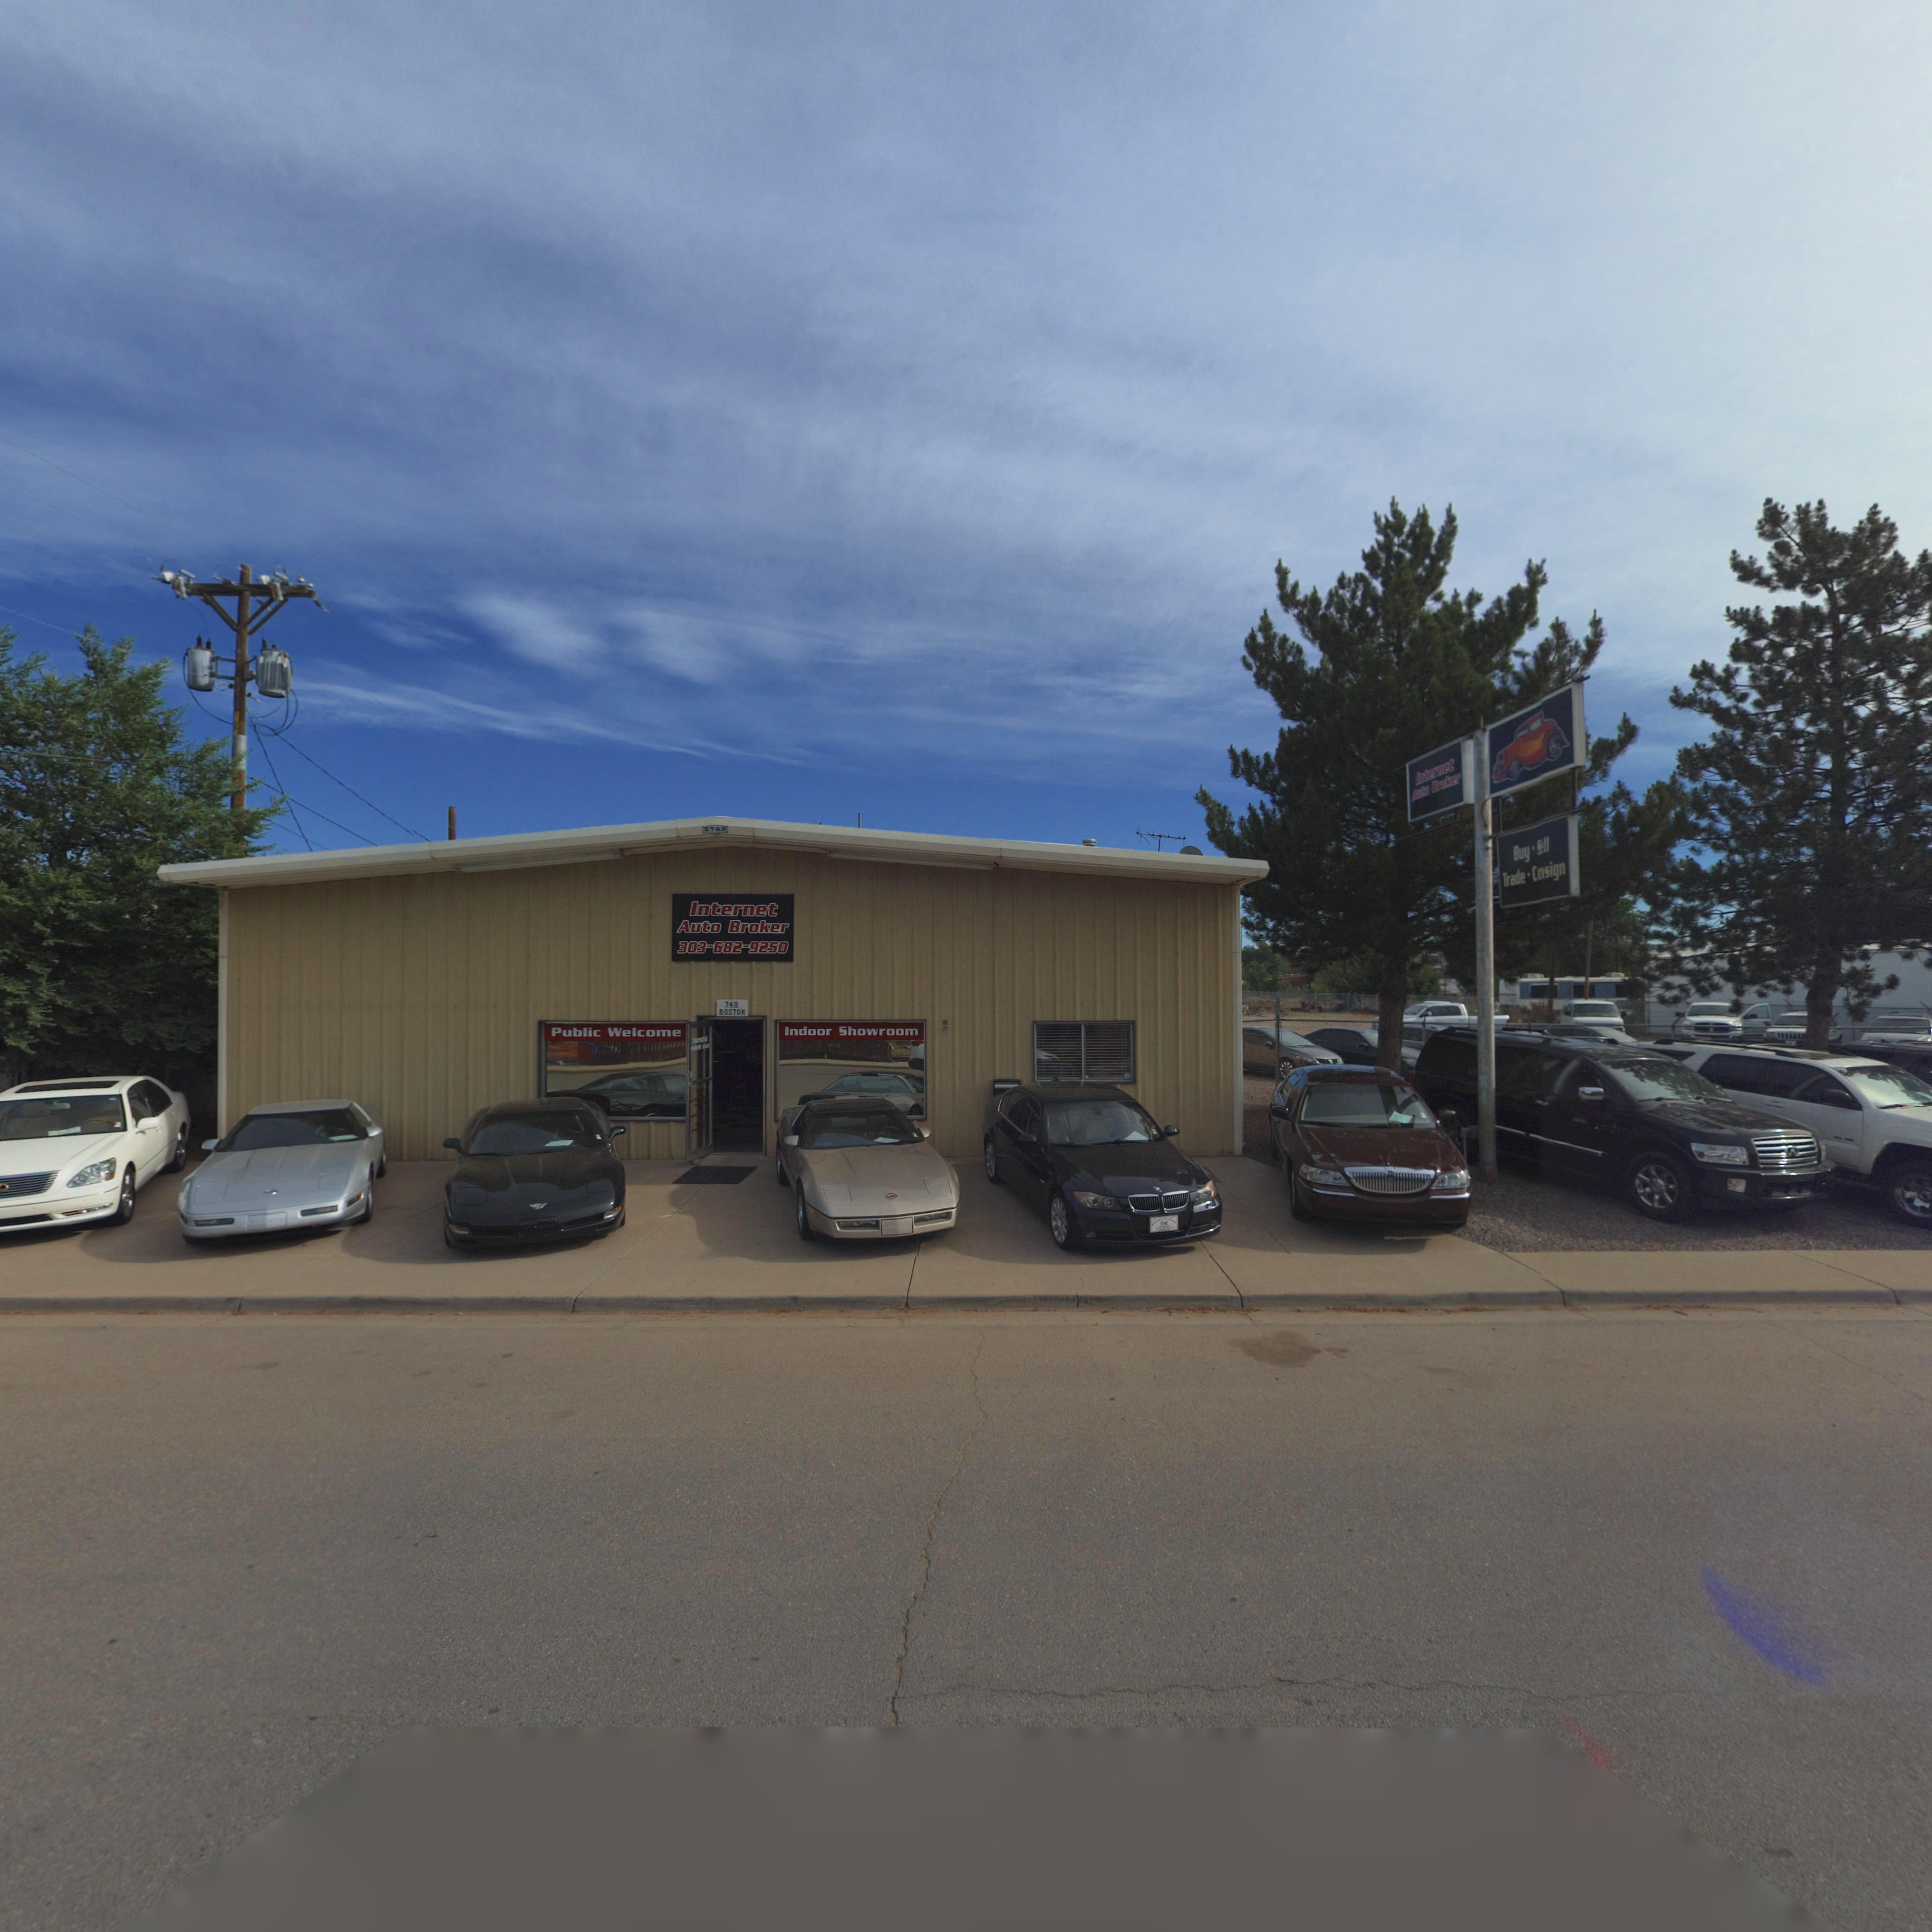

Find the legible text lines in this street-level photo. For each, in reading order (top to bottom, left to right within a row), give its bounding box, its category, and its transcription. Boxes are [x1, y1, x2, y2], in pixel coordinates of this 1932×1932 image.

[1414, 758, 1456, 786] BusinessName: Internet
[1410, 773, 1462, 801] BusinessName: Auto Broker
[689, 900, 779, 917] BusinessName: Internet
[676, 918, 789, 933] BusinessName: Auto Broker
[724, 1001, 738, 1007] StreetNumber: 740
[719, 1009, 744, 1014] StreetName: BOSTON